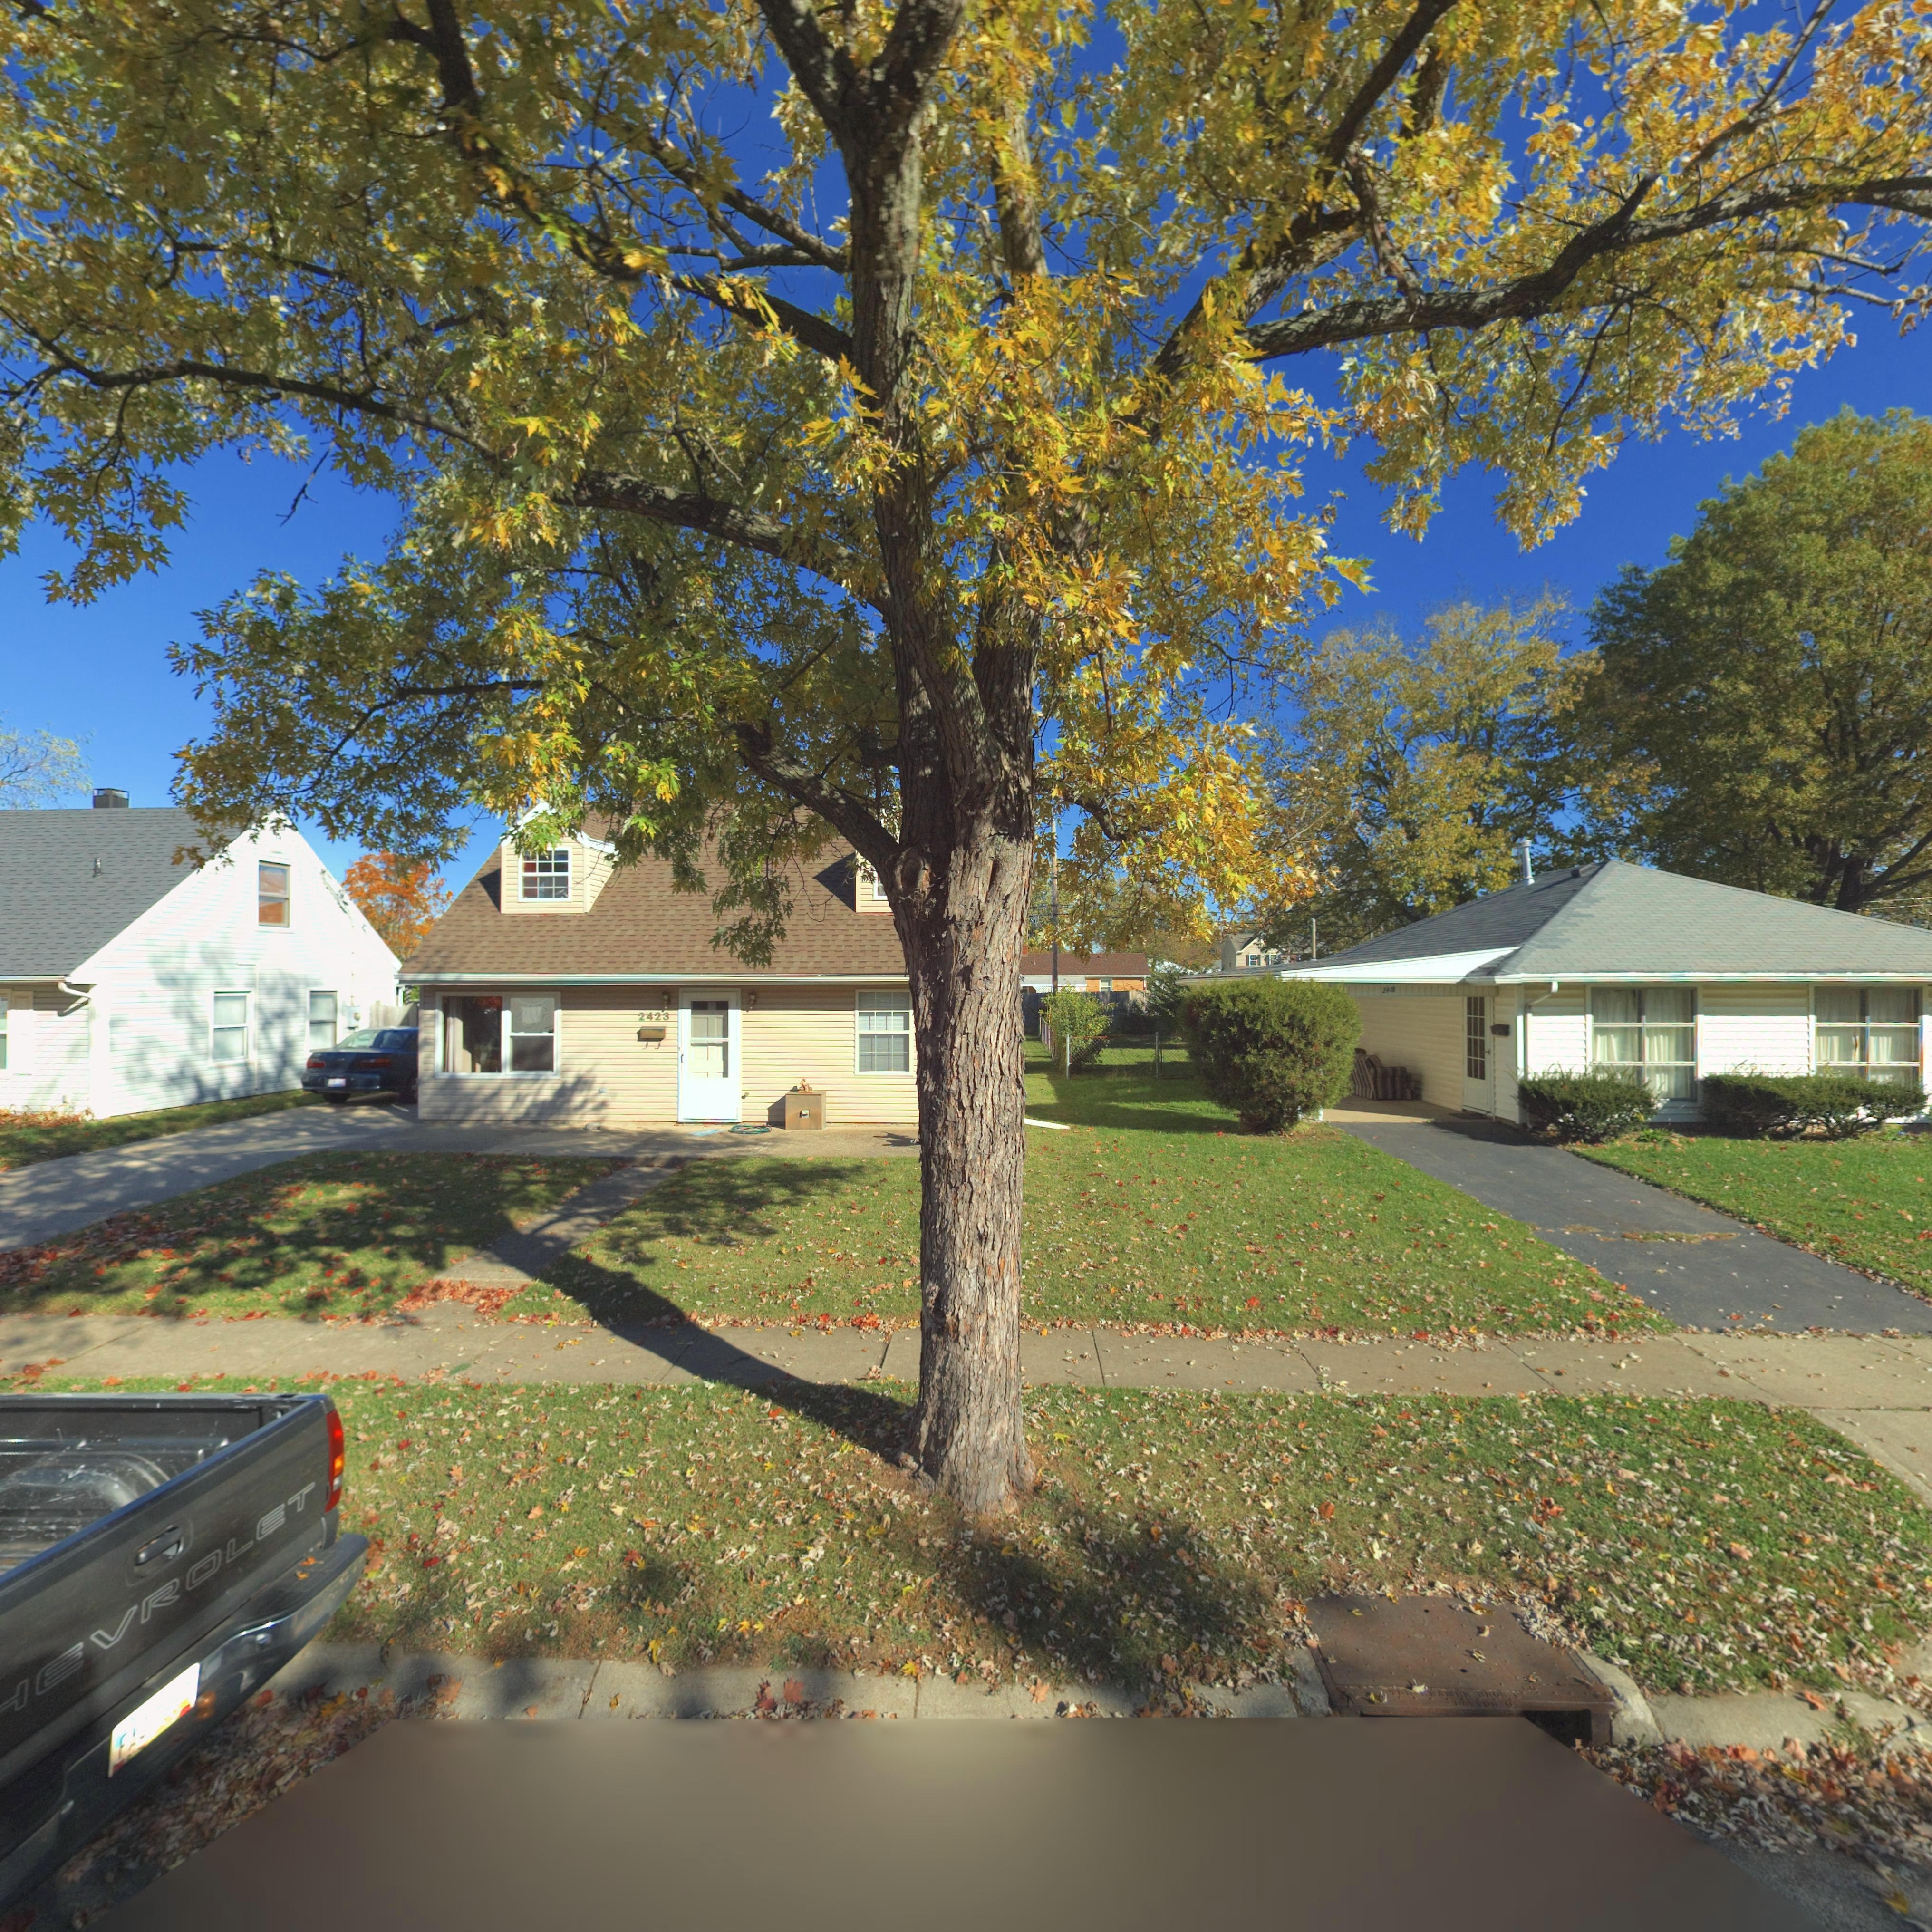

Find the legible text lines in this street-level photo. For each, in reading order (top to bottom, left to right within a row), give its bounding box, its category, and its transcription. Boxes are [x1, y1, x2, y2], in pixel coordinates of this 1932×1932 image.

[1381, 985, 1397, 995] StreetNumber: 24**
[637, 1011, 671, 1022] StreetNumber: 2423